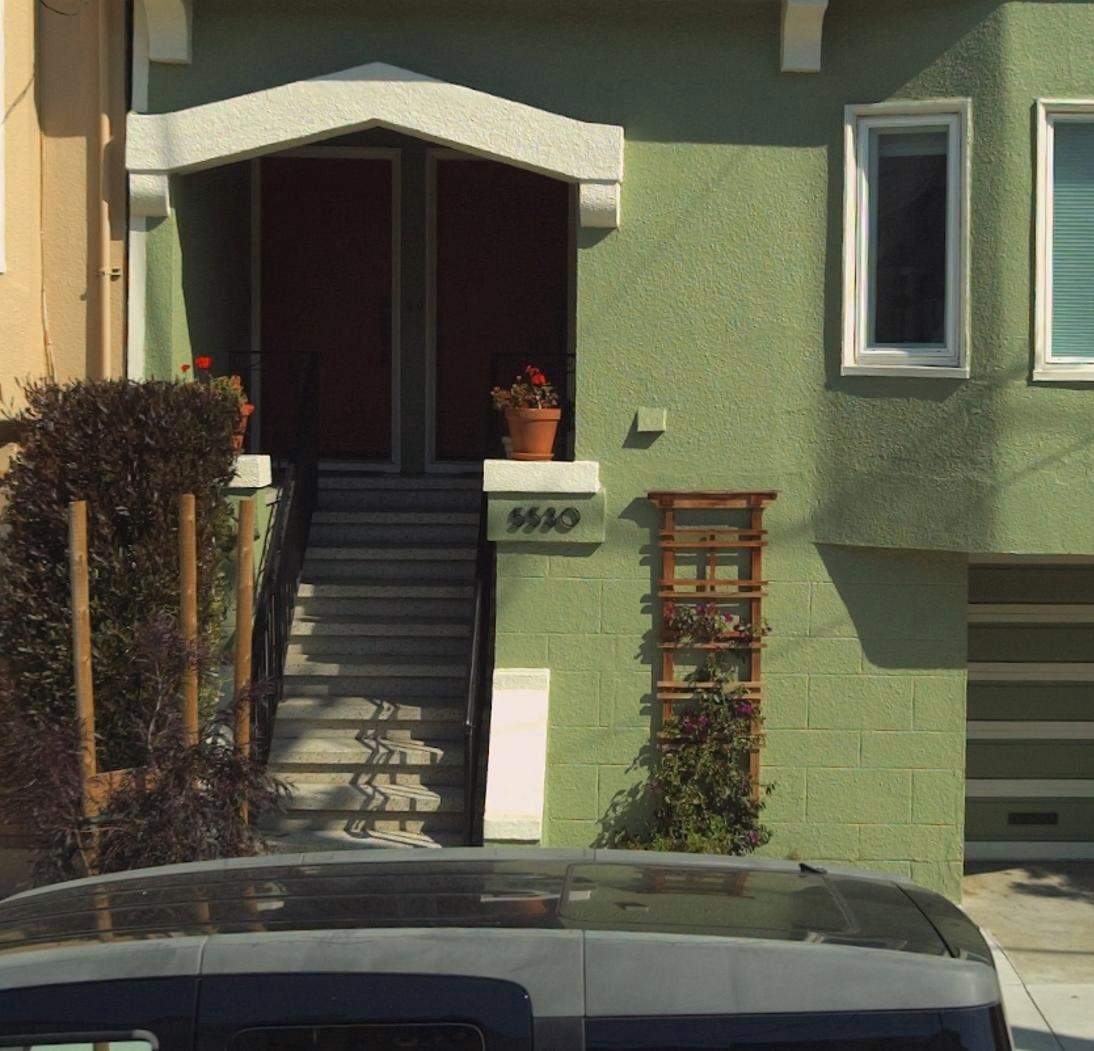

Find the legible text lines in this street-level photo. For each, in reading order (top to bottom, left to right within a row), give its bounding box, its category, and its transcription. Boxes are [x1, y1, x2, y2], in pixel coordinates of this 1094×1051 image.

[509, 504, 582, 531] StreetNumber: 5530